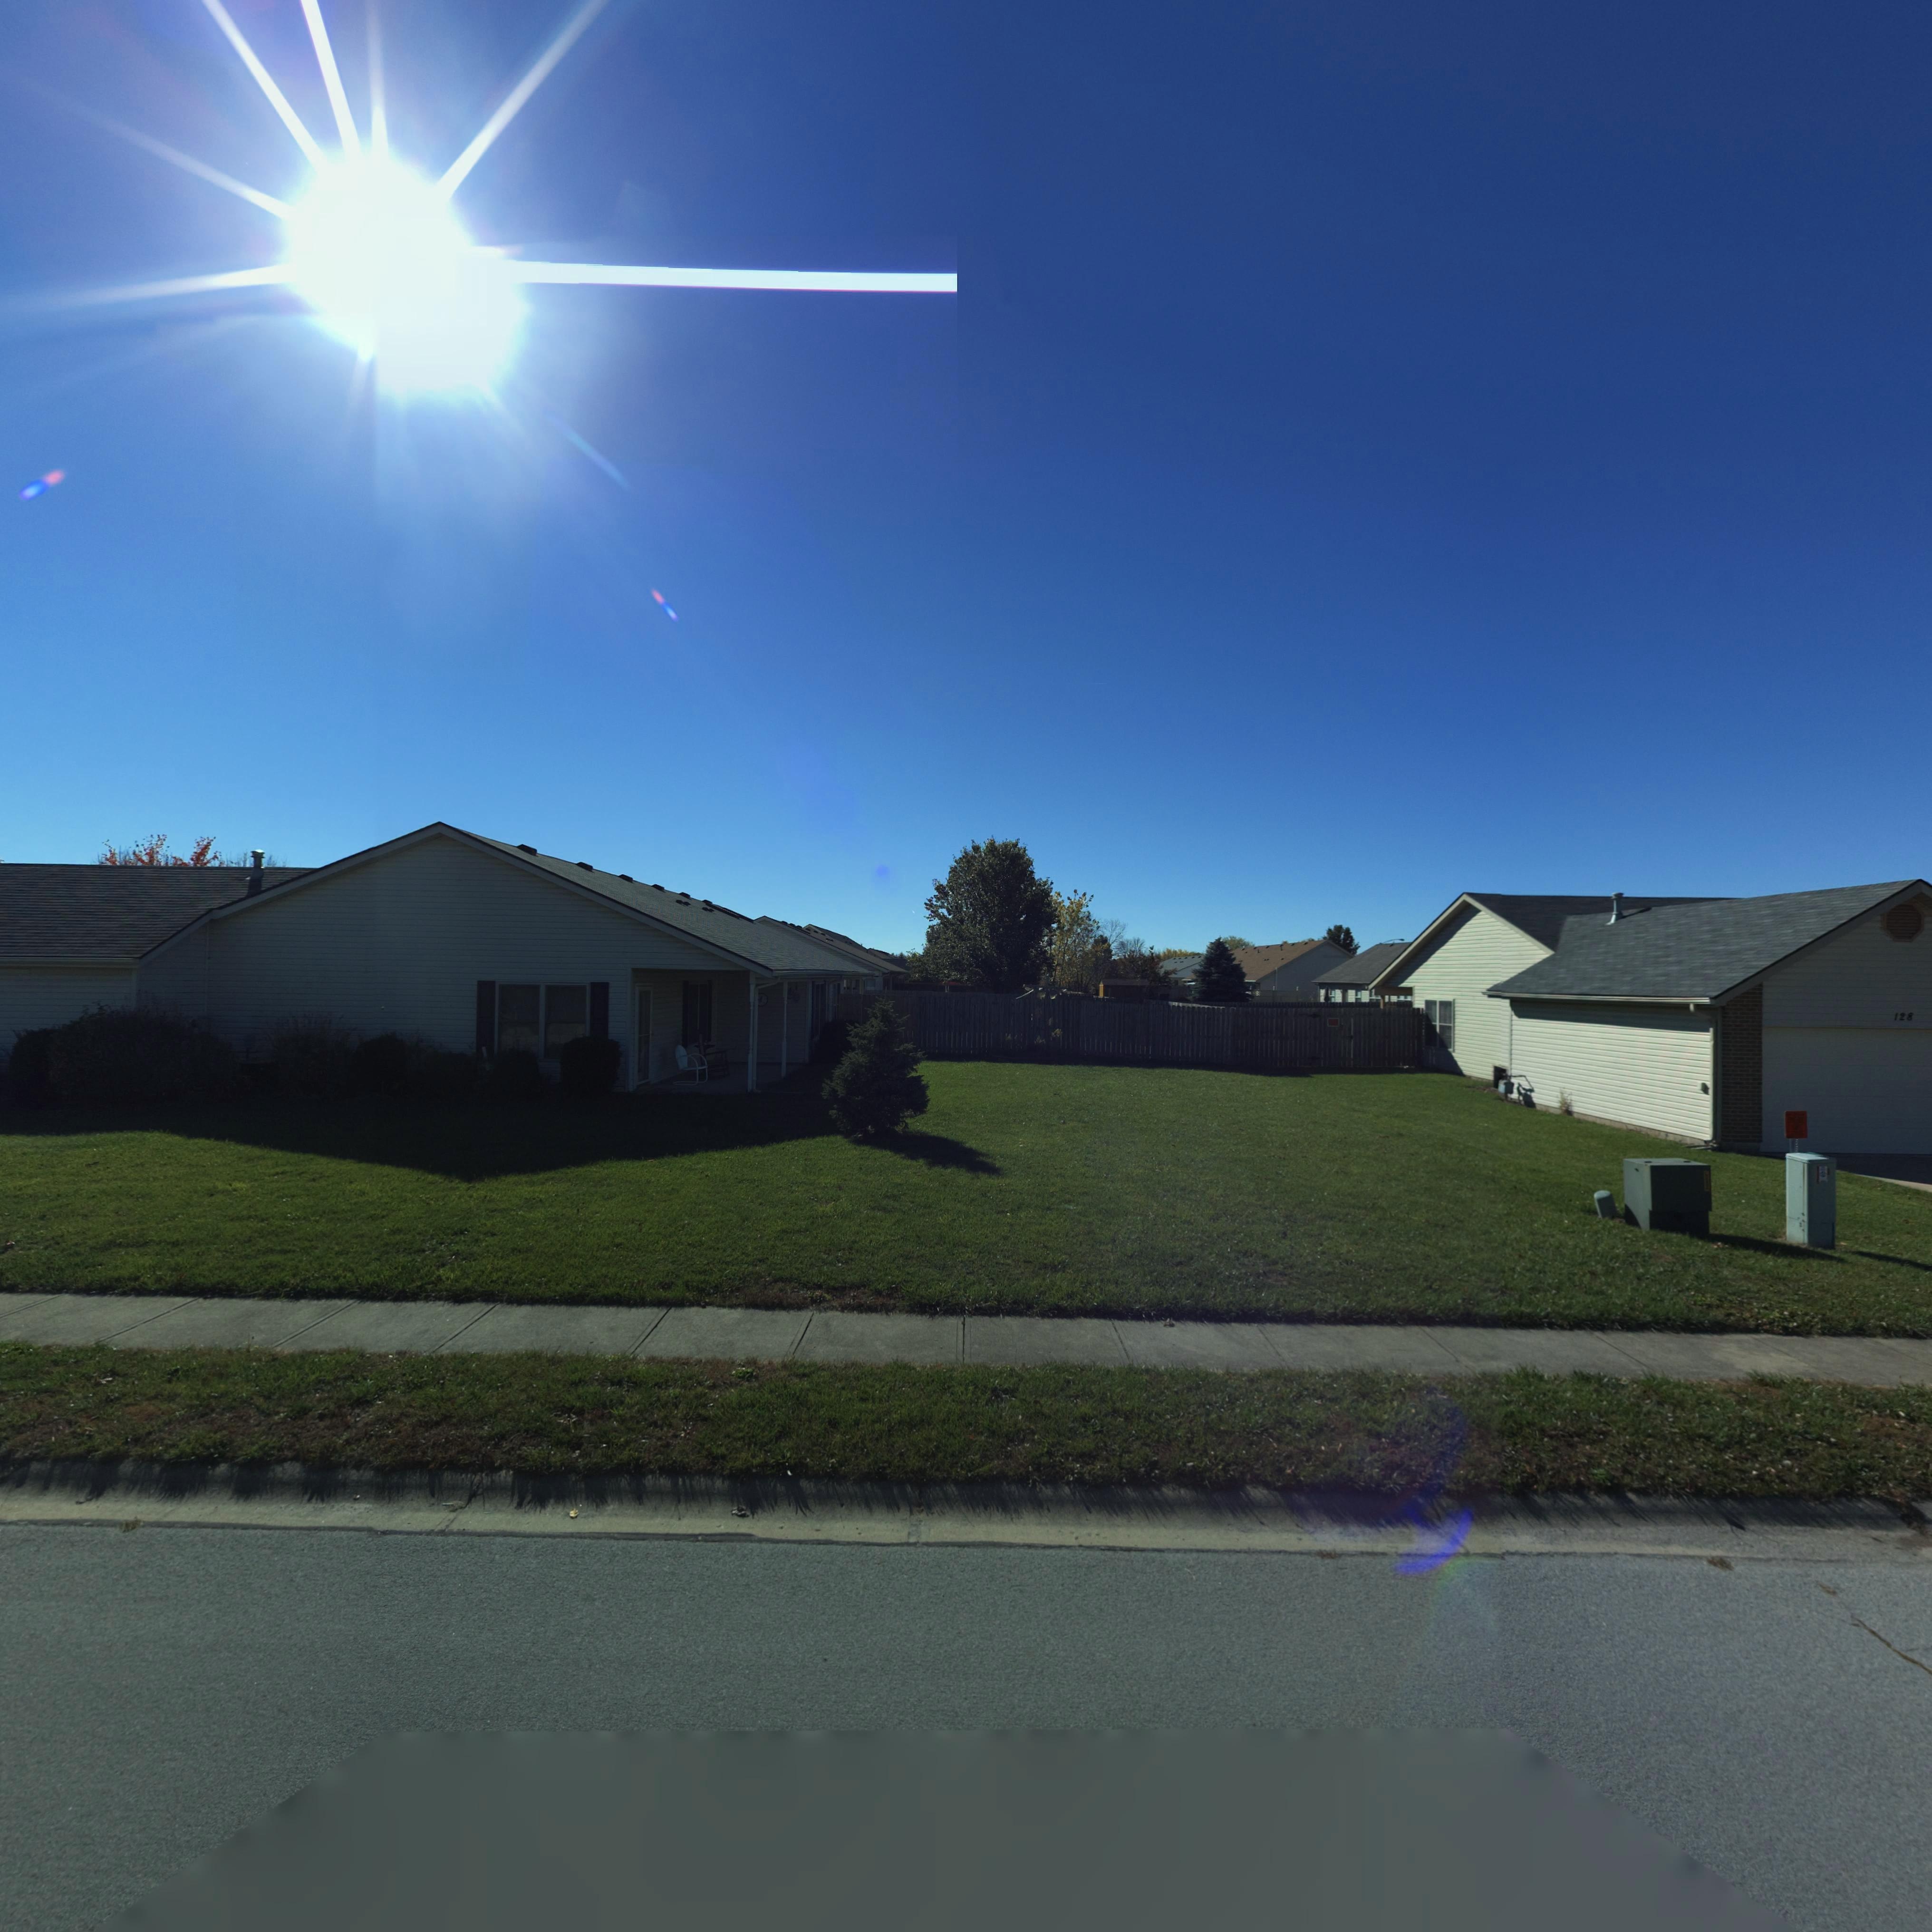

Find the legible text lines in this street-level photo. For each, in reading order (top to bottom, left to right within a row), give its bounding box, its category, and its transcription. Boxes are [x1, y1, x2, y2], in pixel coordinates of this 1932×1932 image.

[1893, 1012, 1914, 1021] StreetNumber: 128